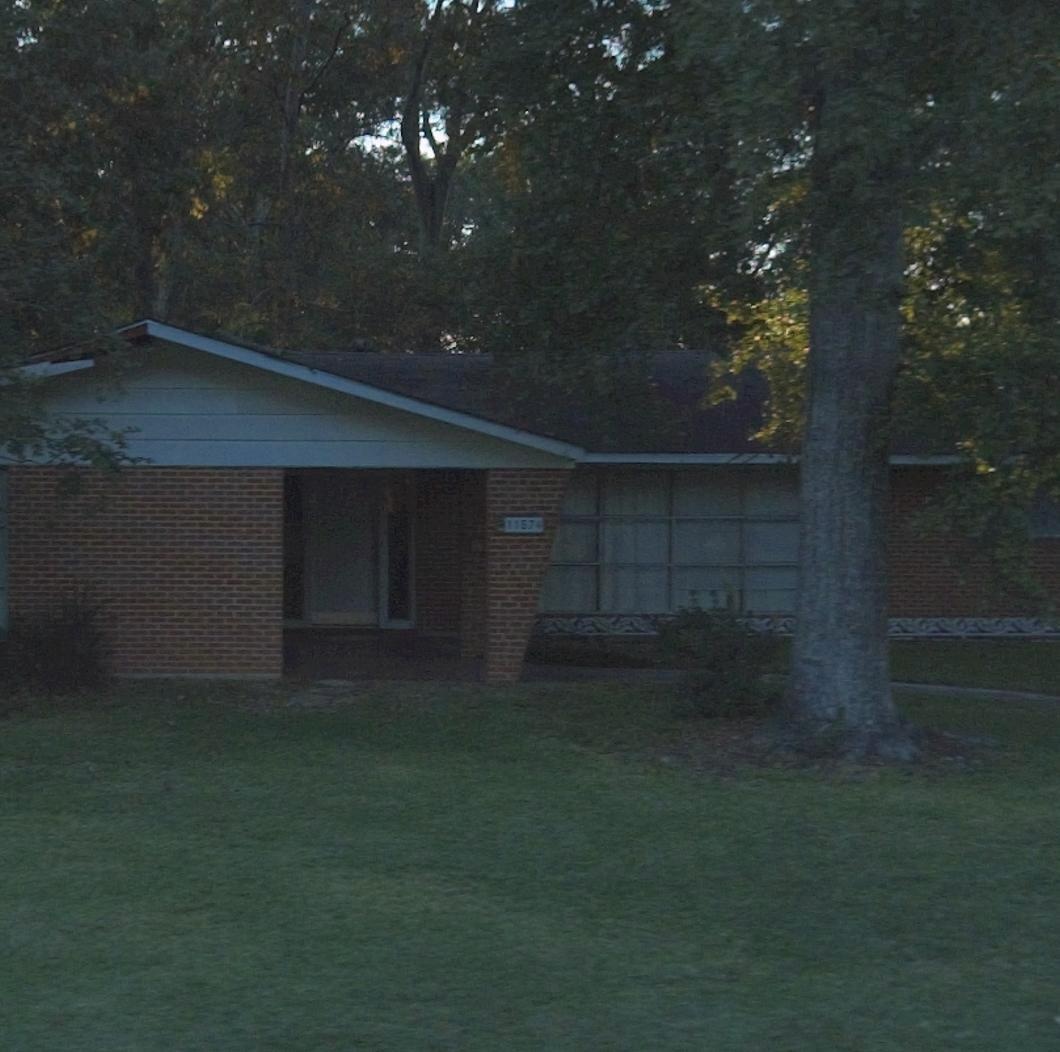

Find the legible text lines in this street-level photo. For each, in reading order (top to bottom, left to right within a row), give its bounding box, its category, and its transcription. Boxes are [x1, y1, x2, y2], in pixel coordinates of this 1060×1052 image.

[505, 517, 544, 531] StreetNumber: 11574